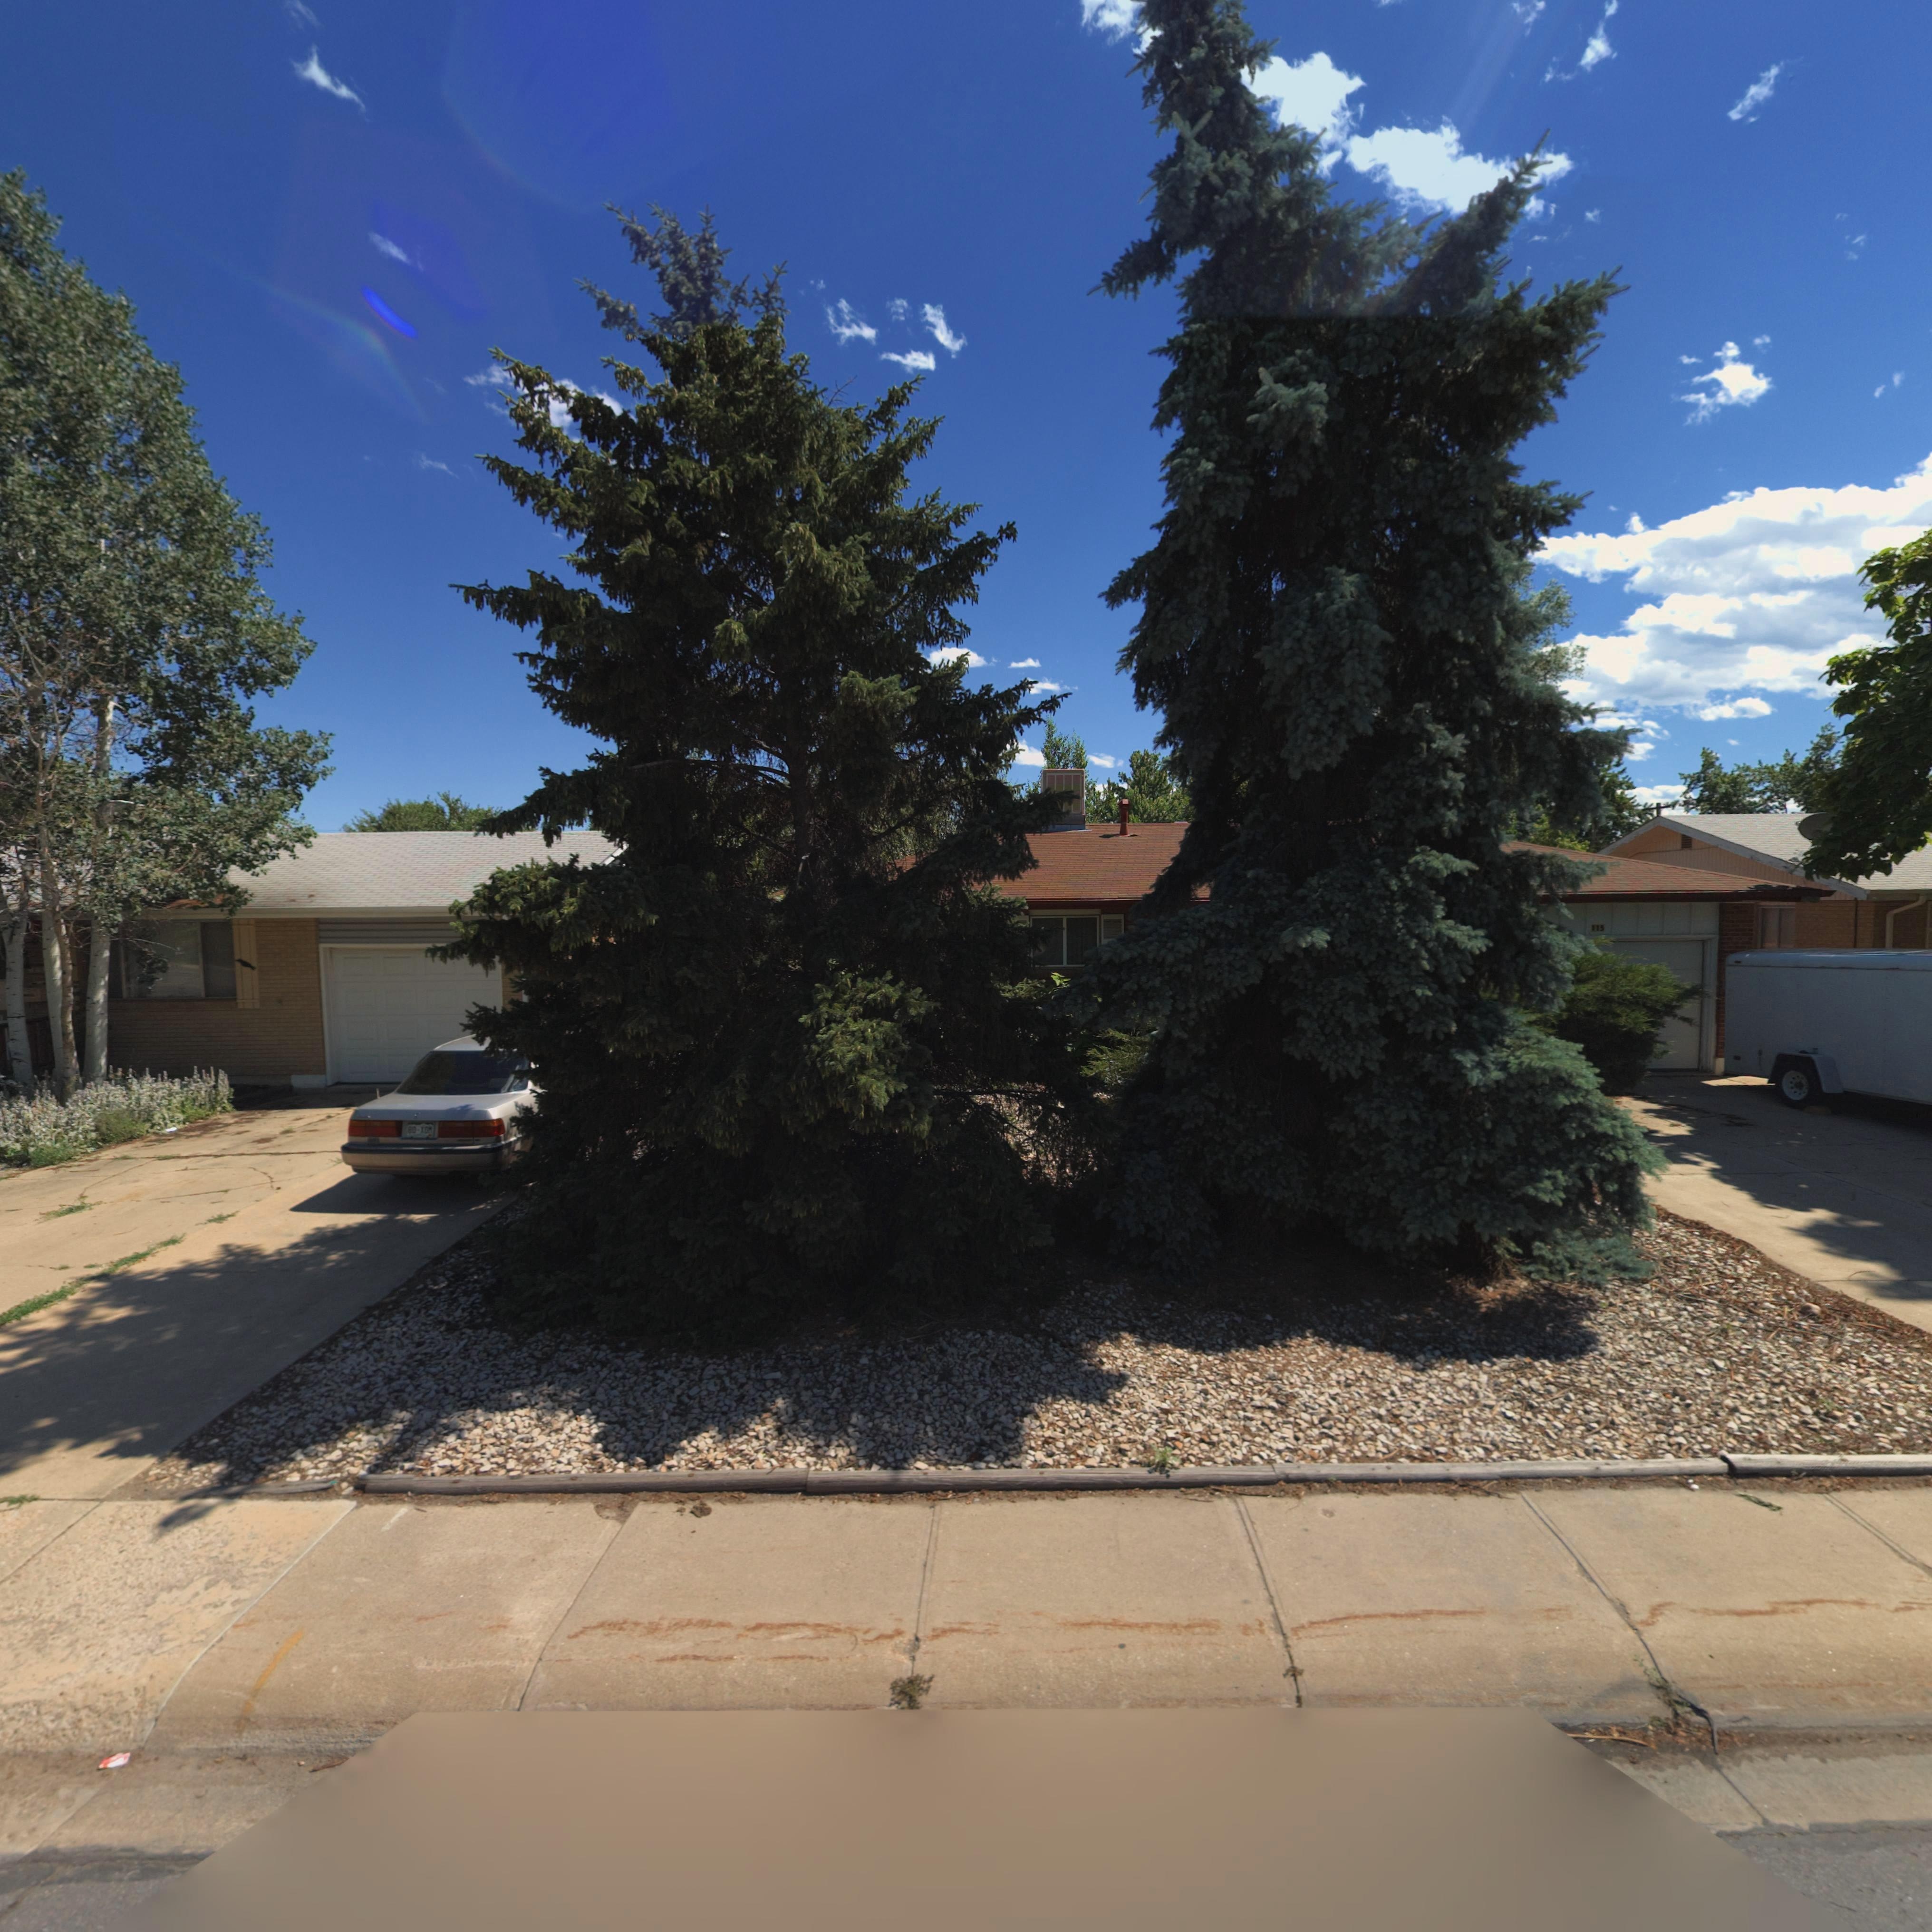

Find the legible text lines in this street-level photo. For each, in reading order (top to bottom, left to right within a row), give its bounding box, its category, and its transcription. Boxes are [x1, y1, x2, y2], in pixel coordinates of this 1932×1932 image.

[1591, 924, 1604, 931] StreetNumber: 115